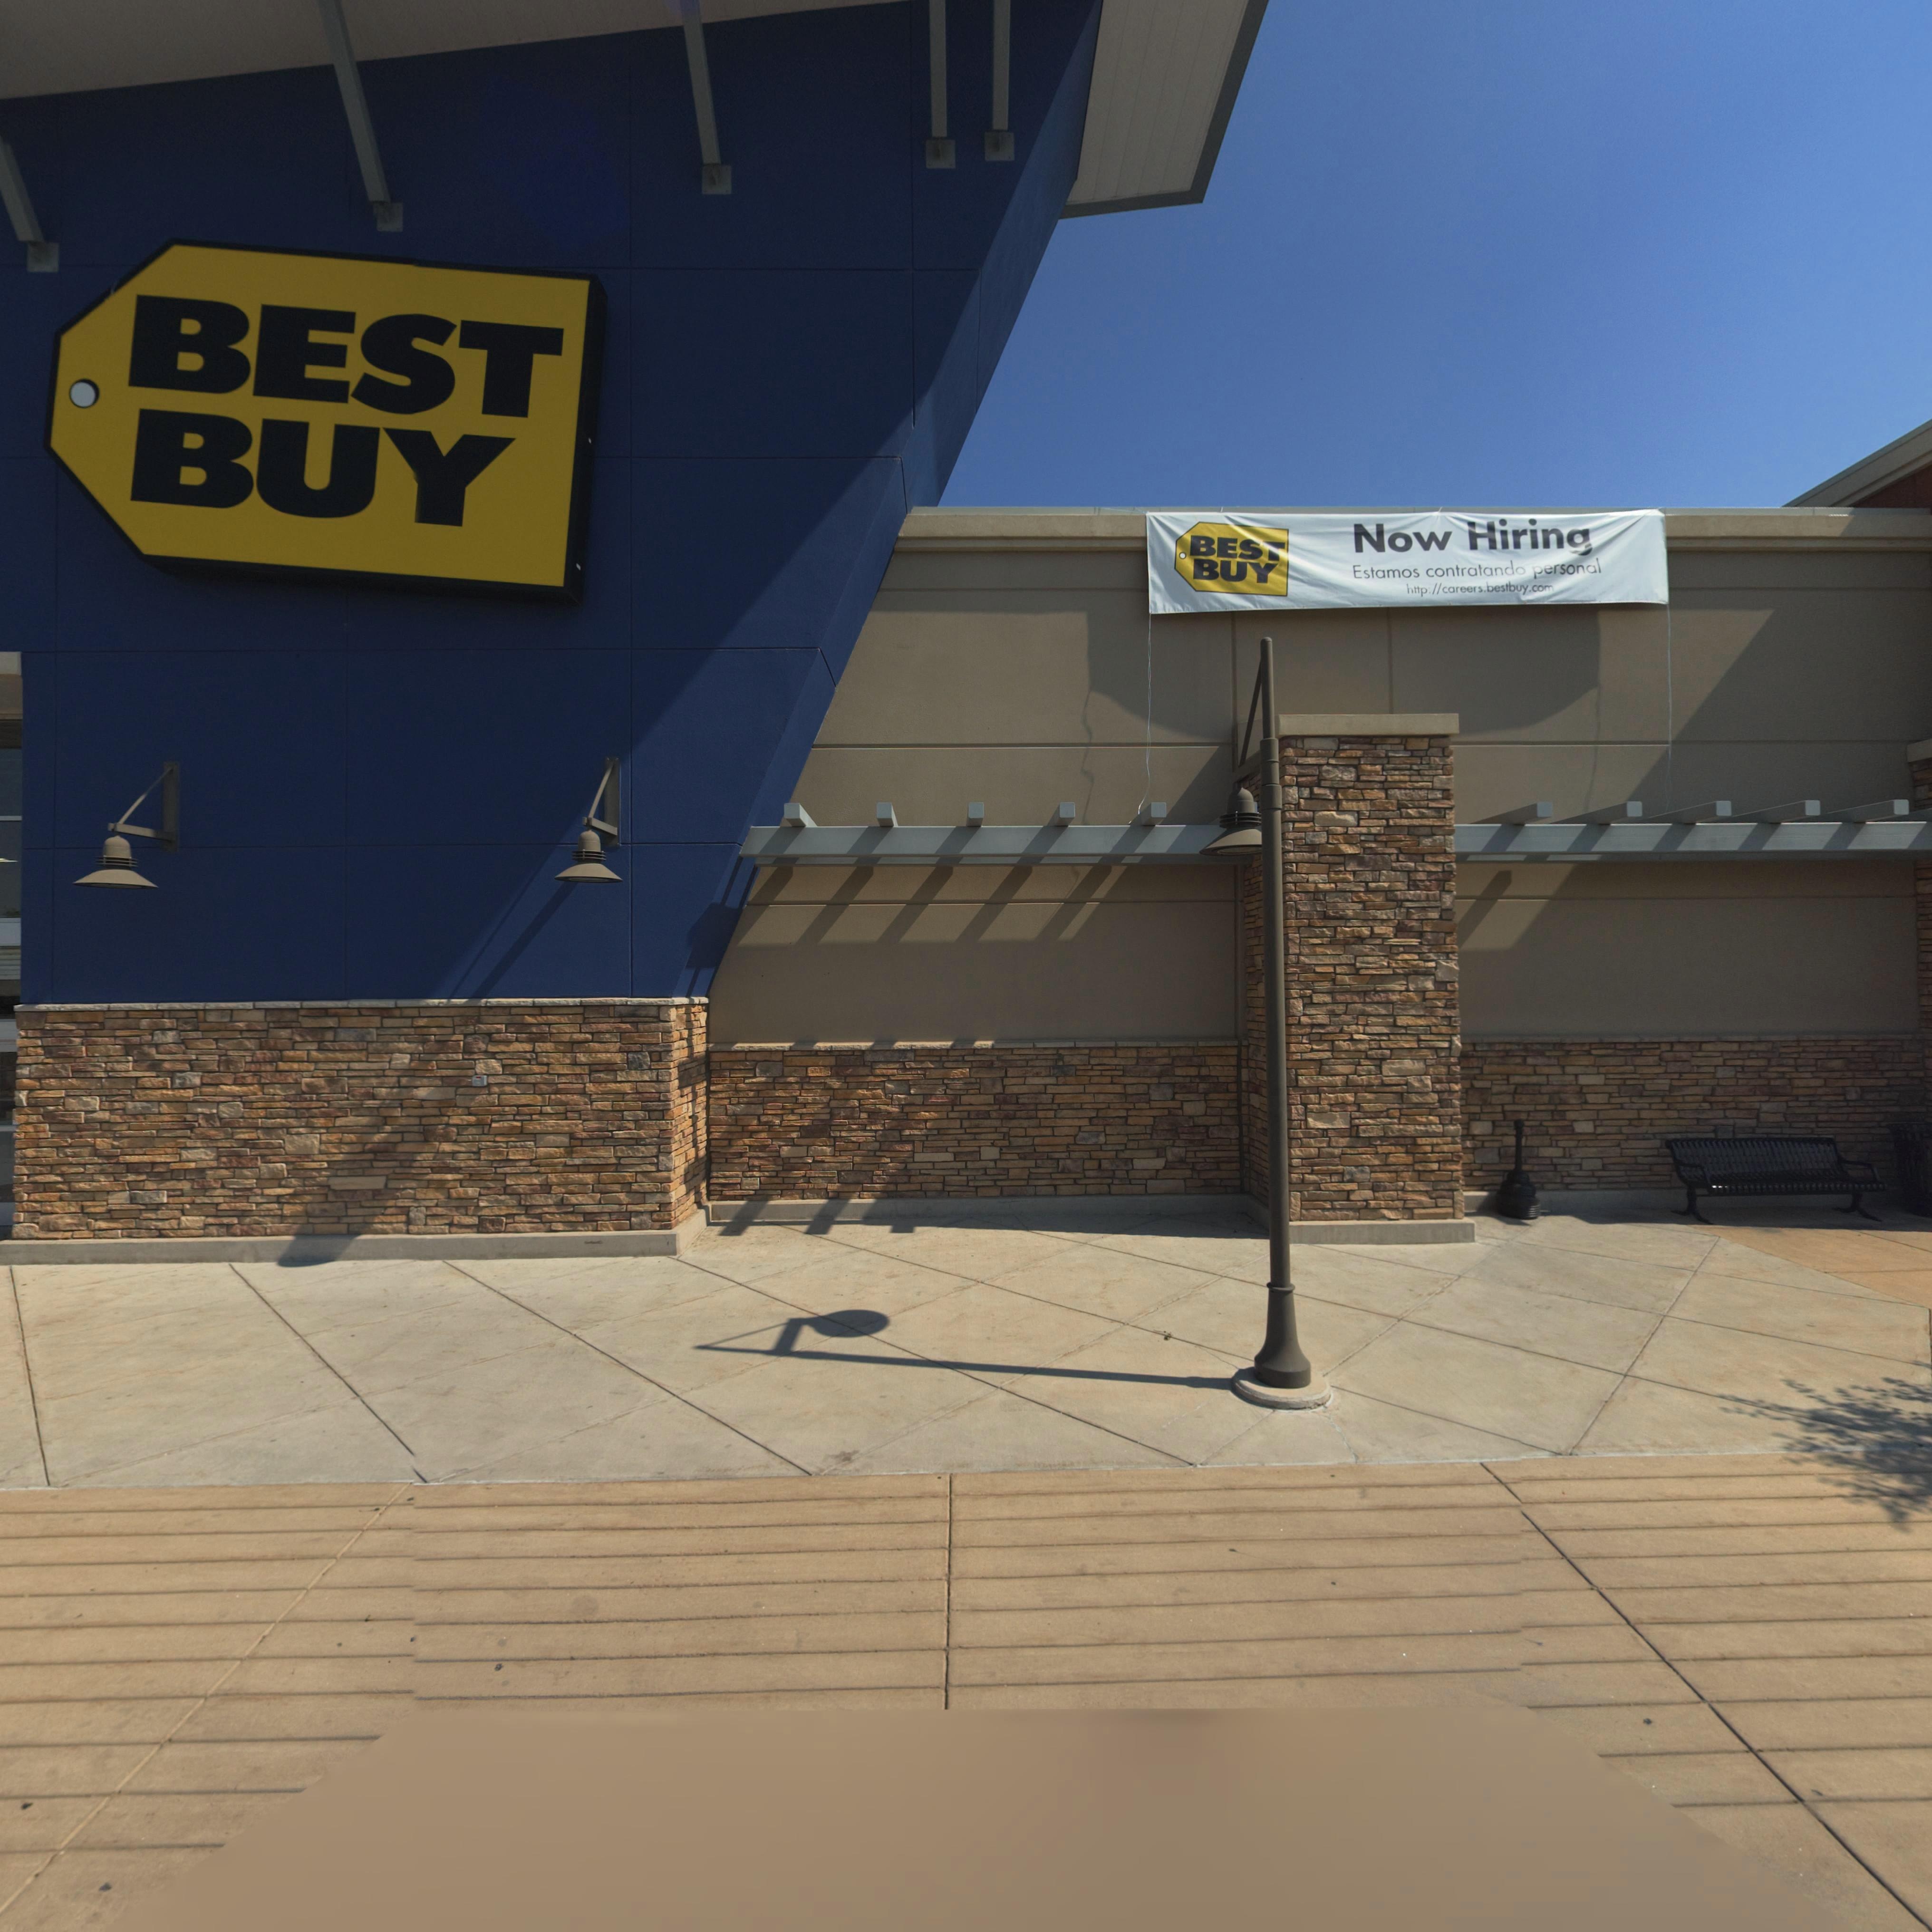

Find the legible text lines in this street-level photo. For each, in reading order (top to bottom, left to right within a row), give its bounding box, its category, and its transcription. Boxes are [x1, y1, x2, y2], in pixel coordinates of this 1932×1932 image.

[125, 291, 568, 422] BusinessName: BEST
[127, 406, 519, 529] BusinessName: BUY
[1192, 558, 1279, 584] BusinessName: BUY
[1190, 534, 1285, 562] BusinessName: BEST